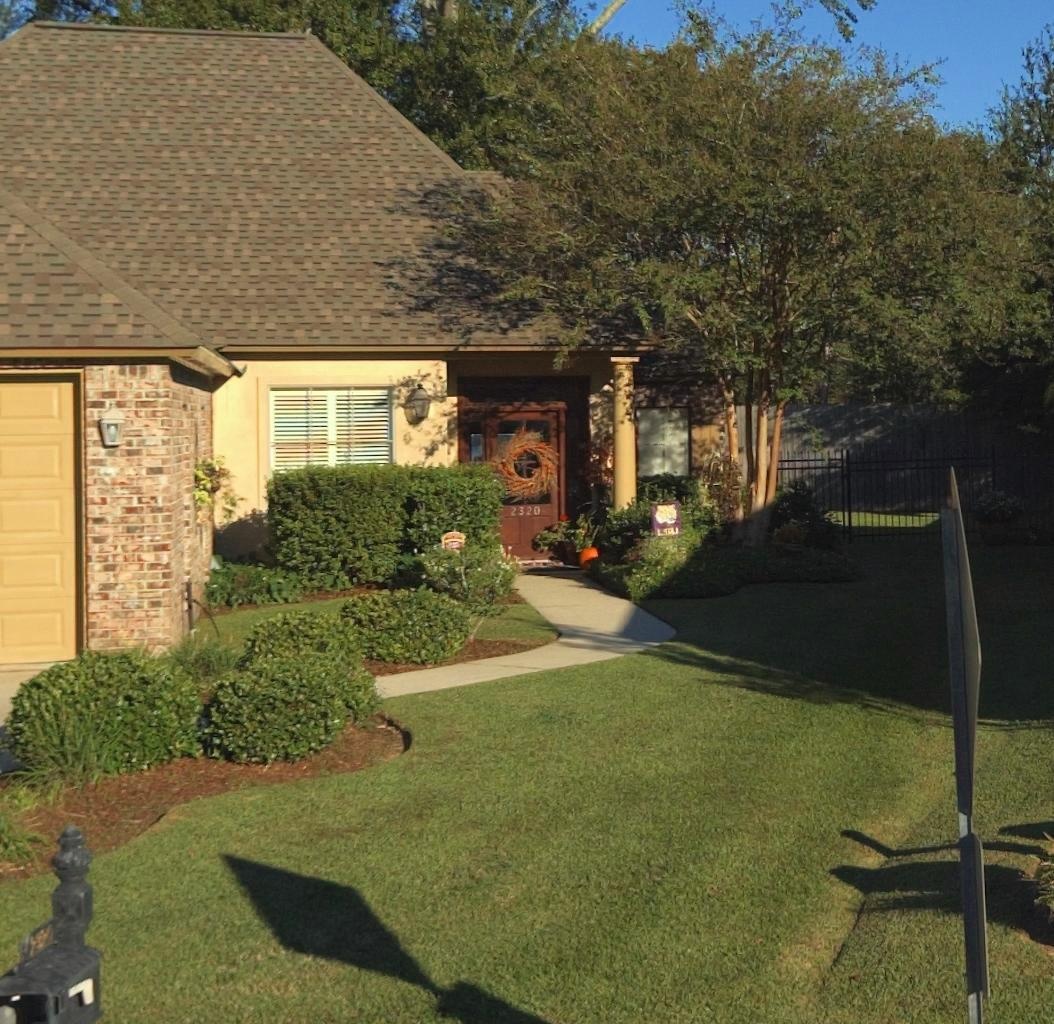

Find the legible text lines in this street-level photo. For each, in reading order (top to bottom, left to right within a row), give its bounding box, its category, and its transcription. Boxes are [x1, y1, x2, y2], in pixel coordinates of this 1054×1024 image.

[509, 503, 542, 518] StreetNumber: 2320